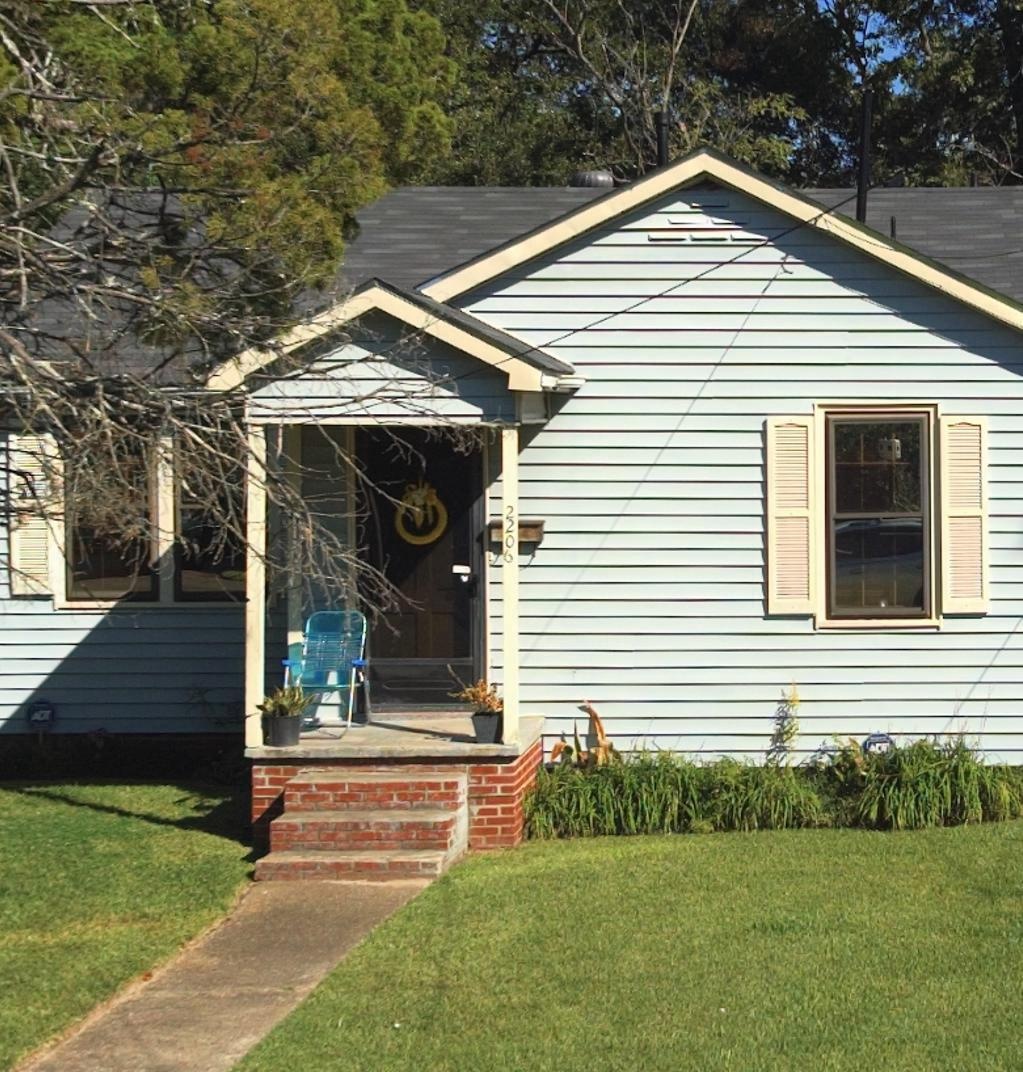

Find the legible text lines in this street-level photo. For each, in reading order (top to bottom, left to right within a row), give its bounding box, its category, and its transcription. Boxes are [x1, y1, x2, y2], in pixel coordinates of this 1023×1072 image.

[503, 504, 516, 565] StreetNumber: 2206
[27, 709, 53, 722] None: ADT
[866, 741, 890, 755] None: ADT